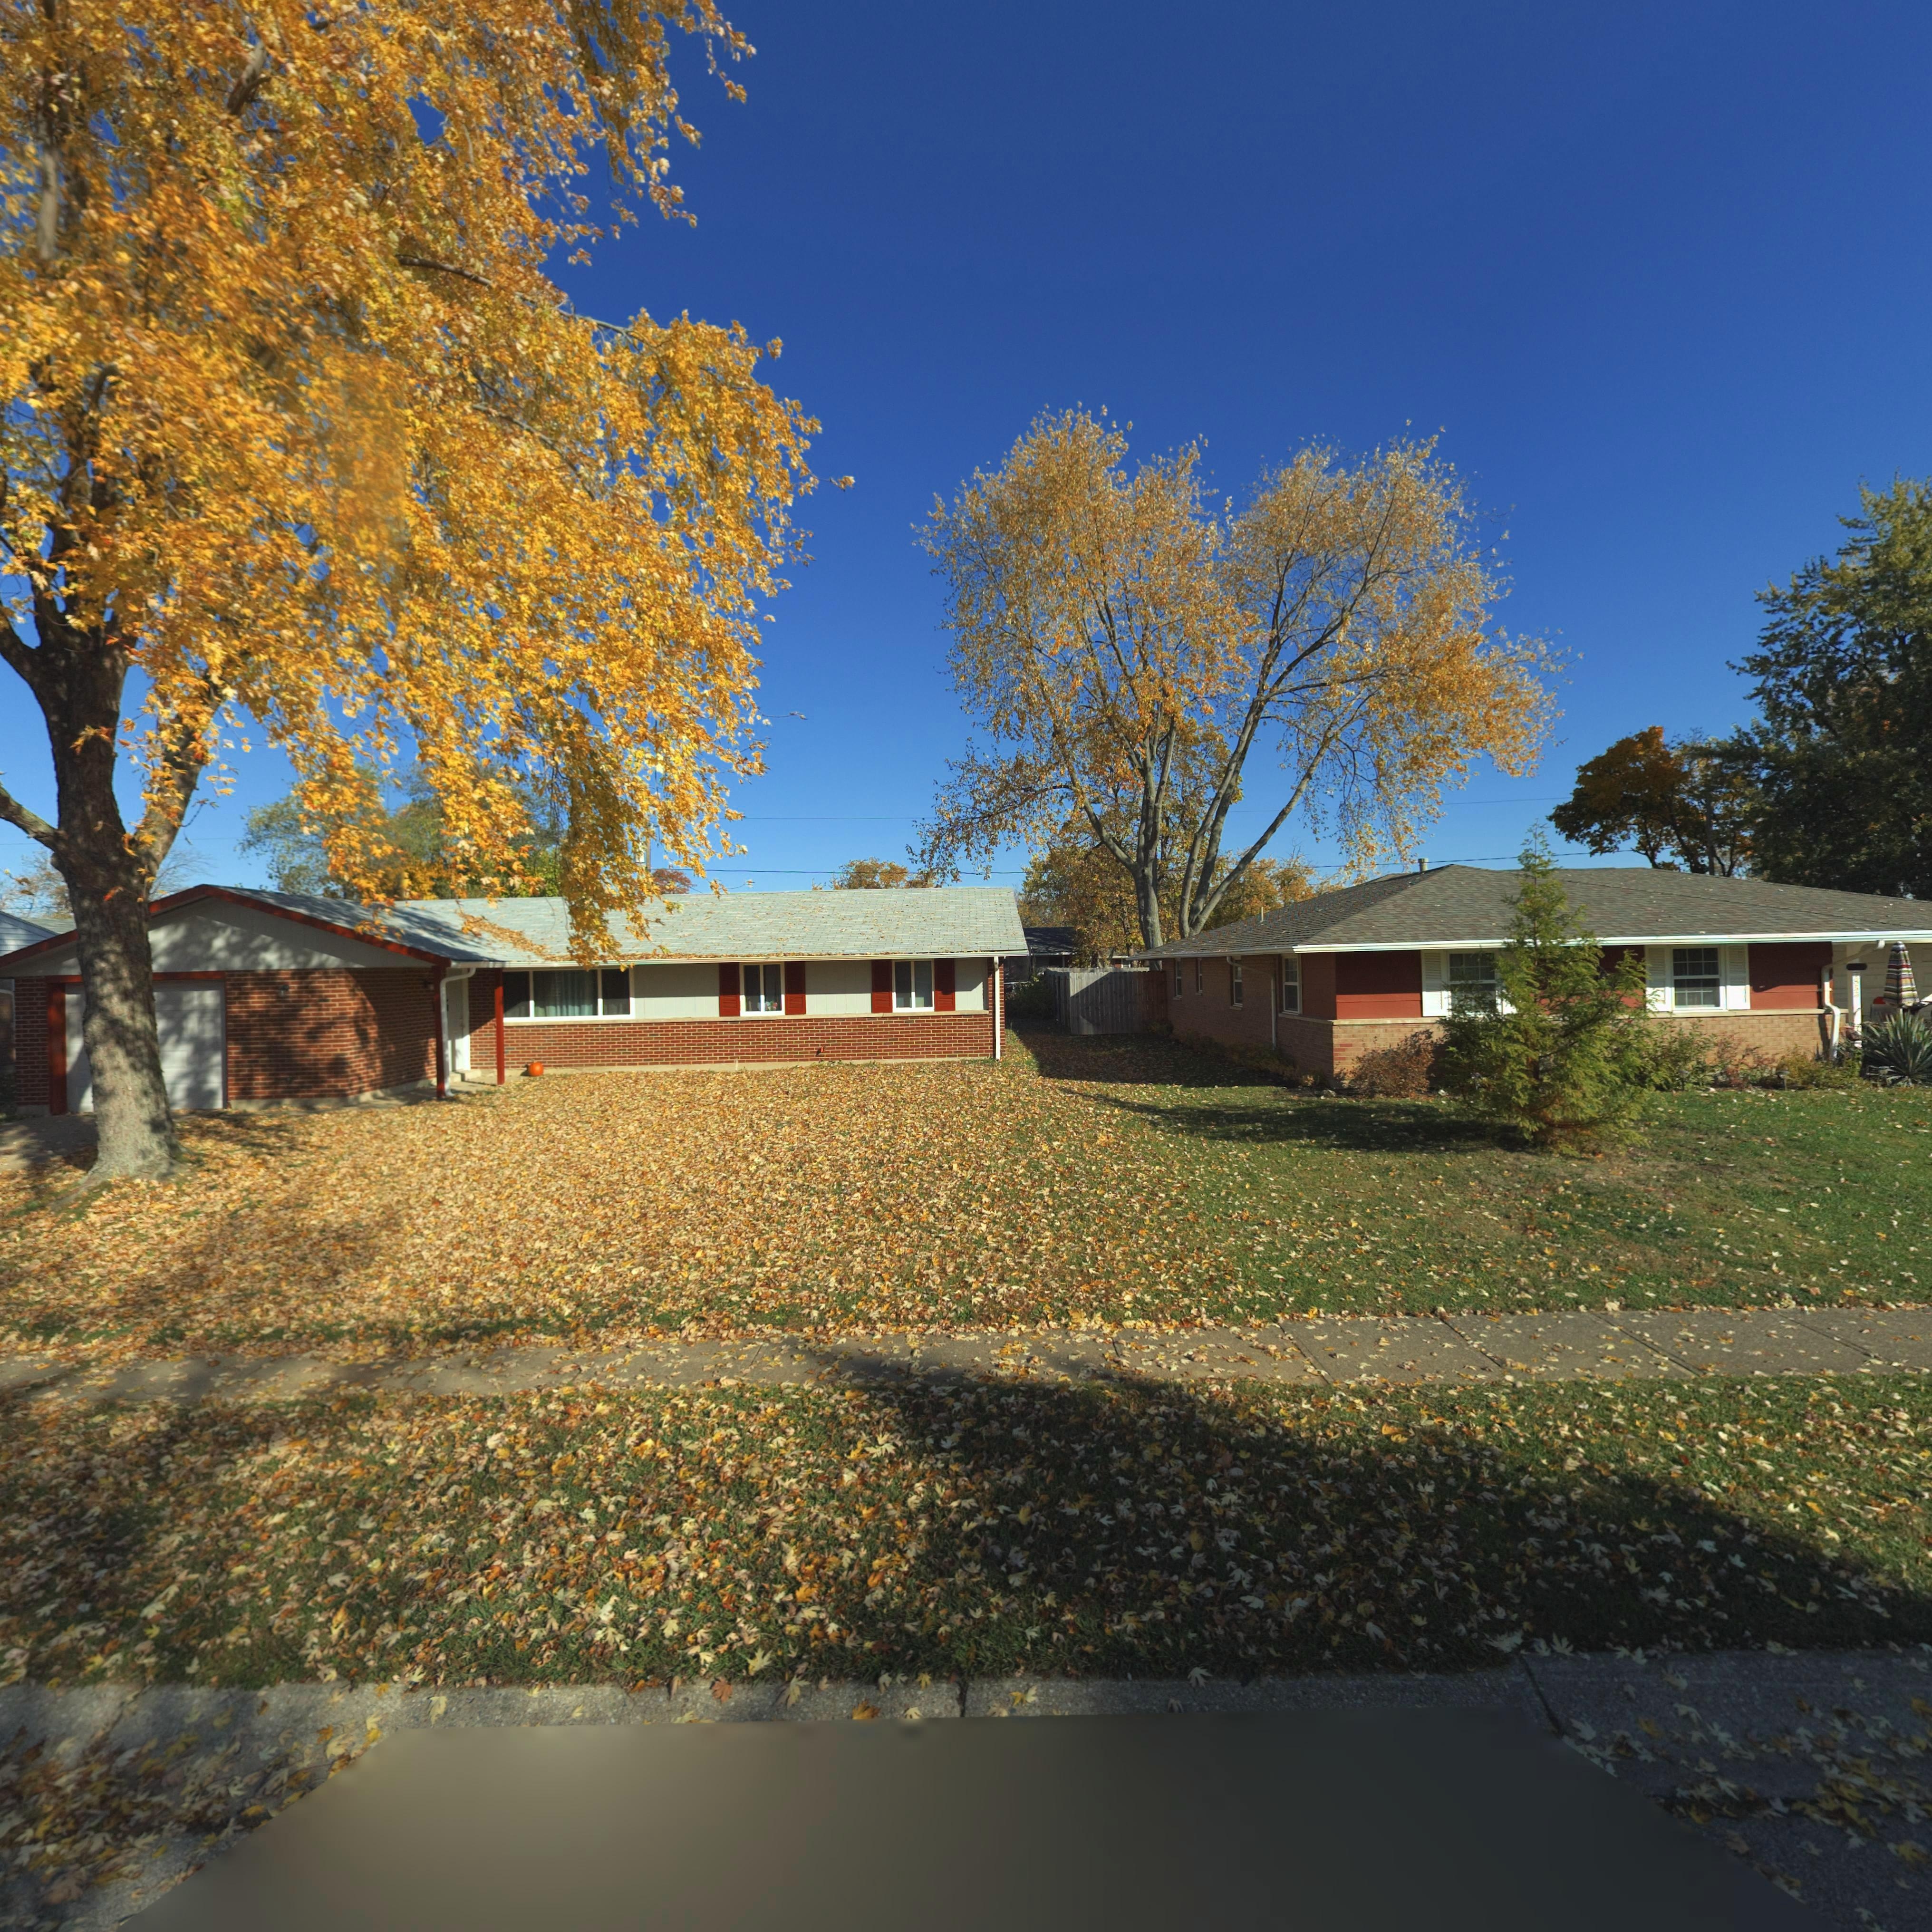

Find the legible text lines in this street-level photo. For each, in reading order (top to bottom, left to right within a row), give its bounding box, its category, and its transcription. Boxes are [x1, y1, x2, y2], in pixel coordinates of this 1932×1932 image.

[1852, 970, 1861, 998] StreetNumber: 78**